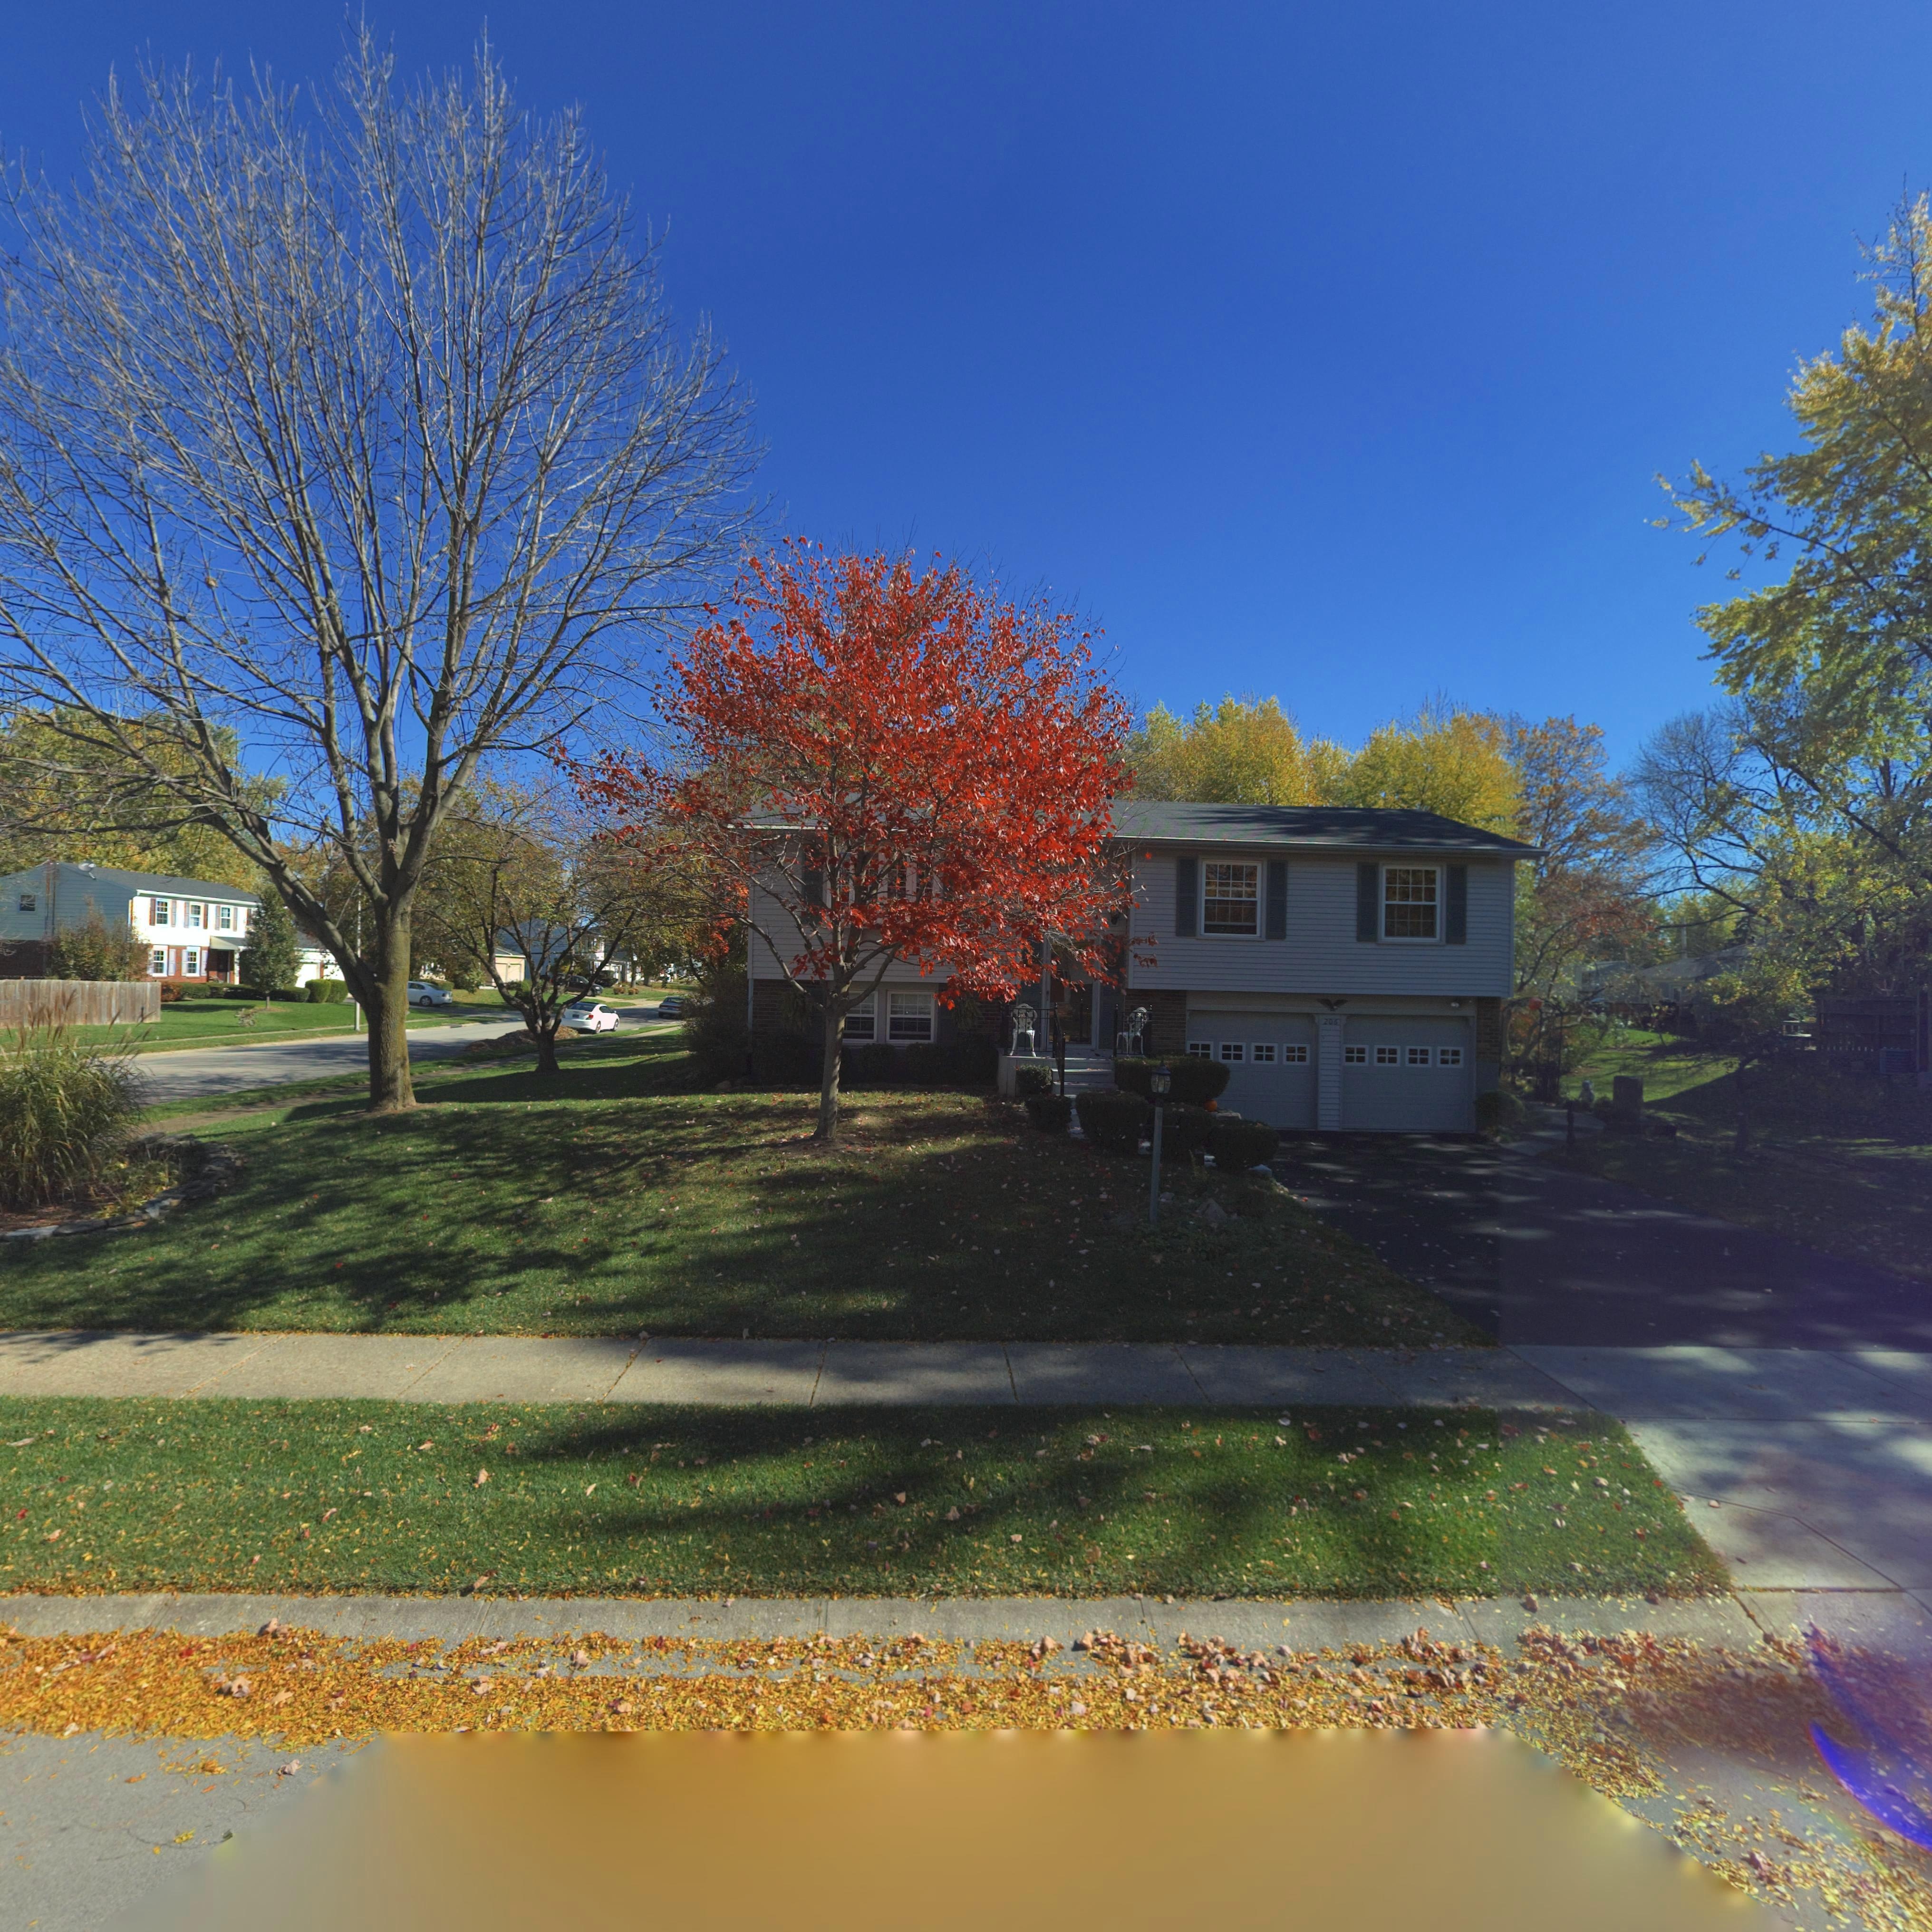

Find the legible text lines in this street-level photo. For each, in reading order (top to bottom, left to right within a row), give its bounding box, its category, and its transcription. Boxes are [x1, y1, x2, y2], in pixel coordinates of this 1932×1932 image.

[1323, 1017, 1339, 1026] StreetNumber: 206